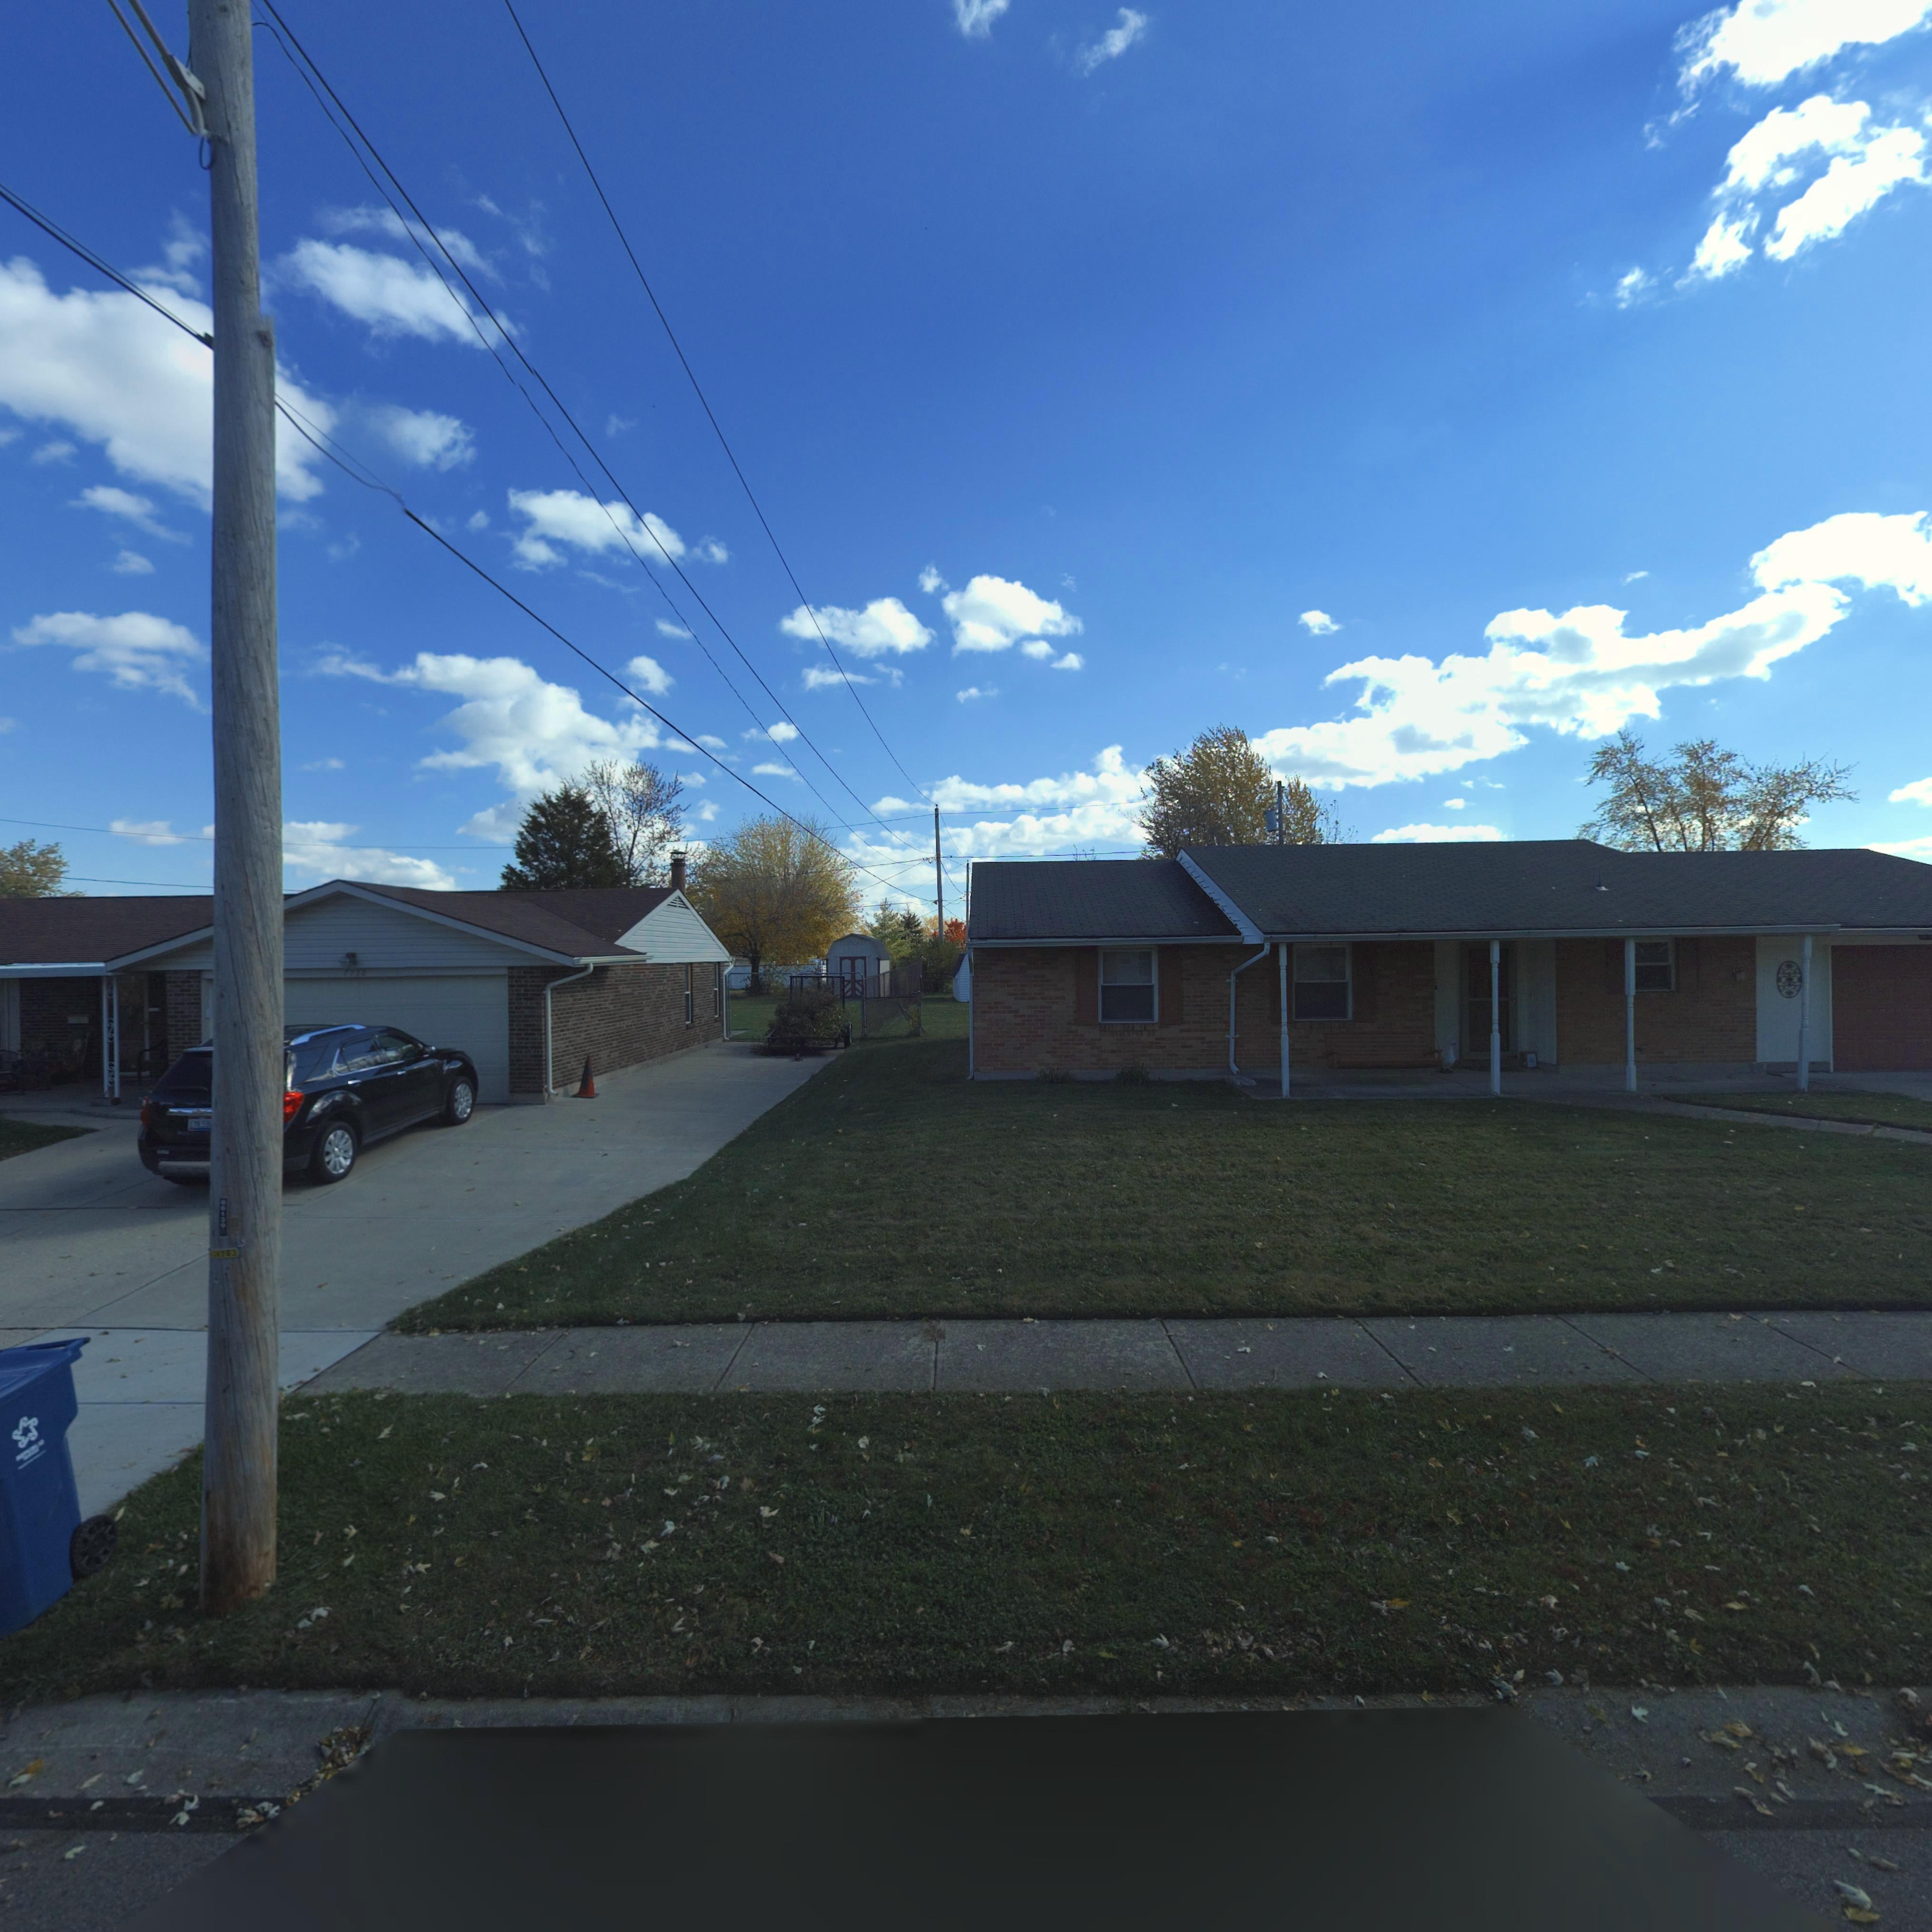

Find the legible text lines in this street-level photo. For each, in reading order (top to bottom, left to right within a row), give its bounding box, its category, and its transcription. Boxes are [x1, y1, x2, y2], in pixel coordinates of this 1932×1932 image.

[342, 968, 367, 977] StreetNumber: **32